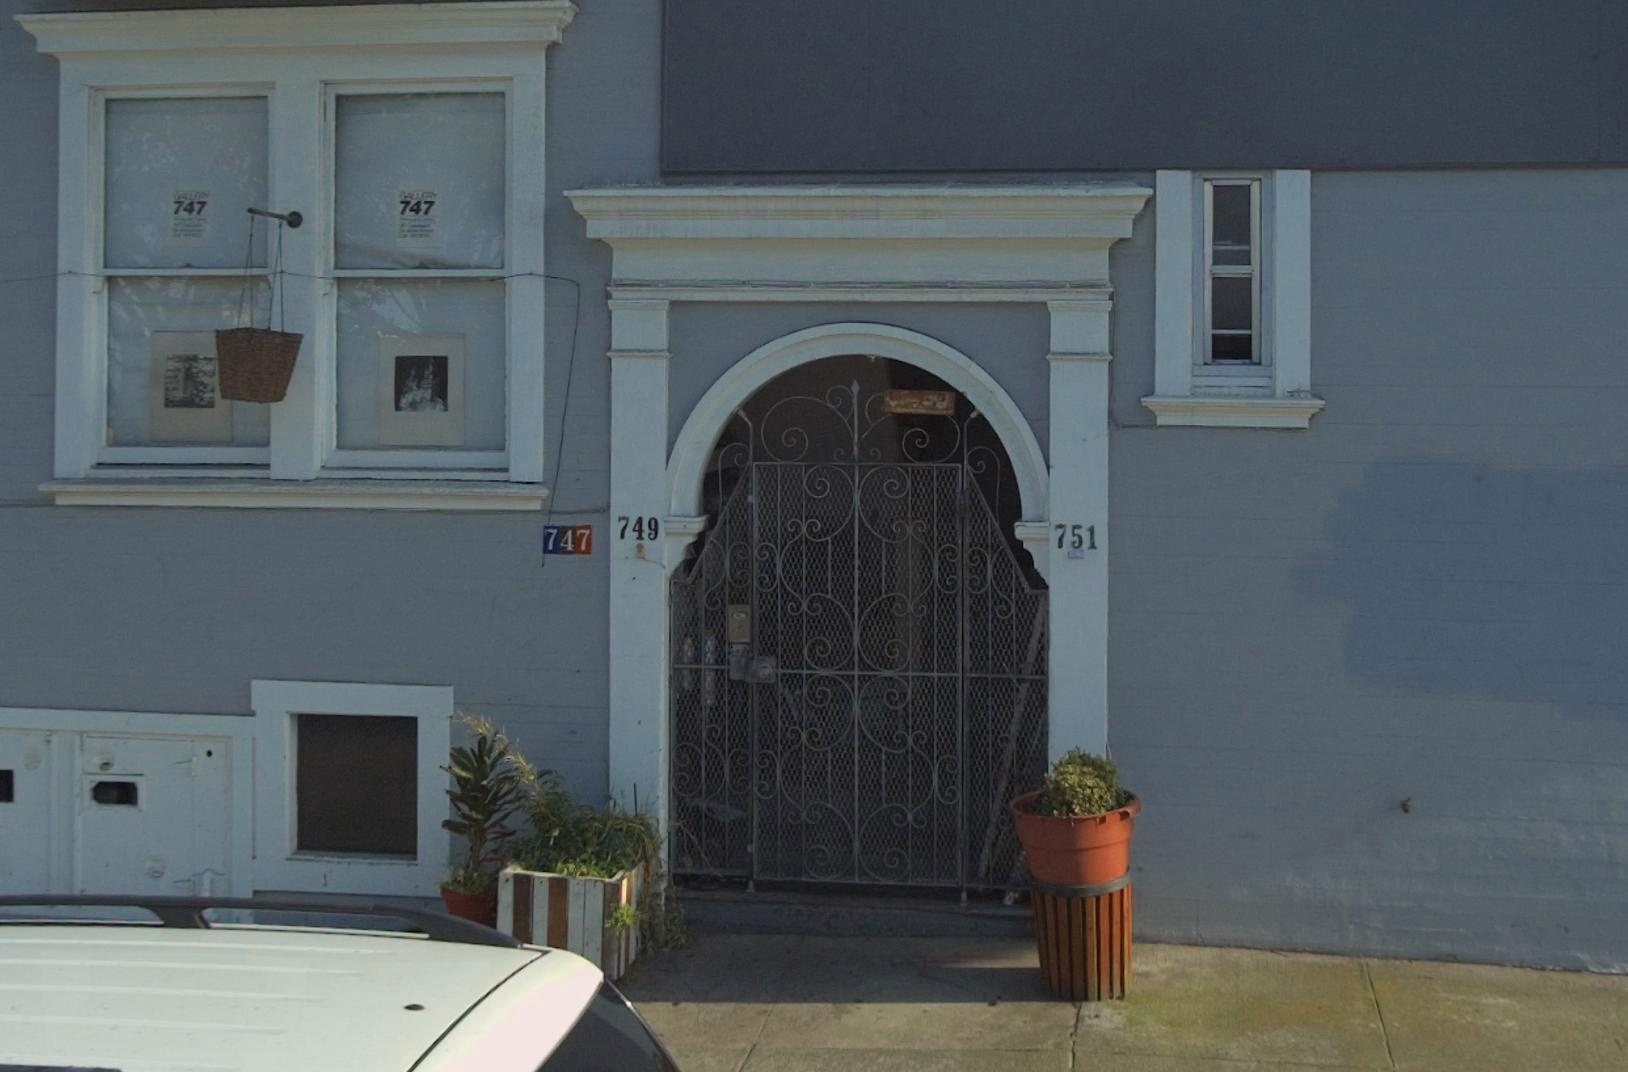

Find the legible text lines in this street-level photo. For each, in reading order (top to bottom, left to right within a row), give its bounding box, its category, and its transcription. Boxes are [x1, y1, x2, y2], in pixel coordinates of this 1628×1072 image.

[169, 197, 207, 216] StreetNumber: 747
[395, 196, 437, 217] StreetNumber: 747
[543, 524, 592, 554] StreetNumber: 747
[616, 512, 659, 542] StreetNumber: 749
[1052, 520, 1100, 552] StreetNumber: 751